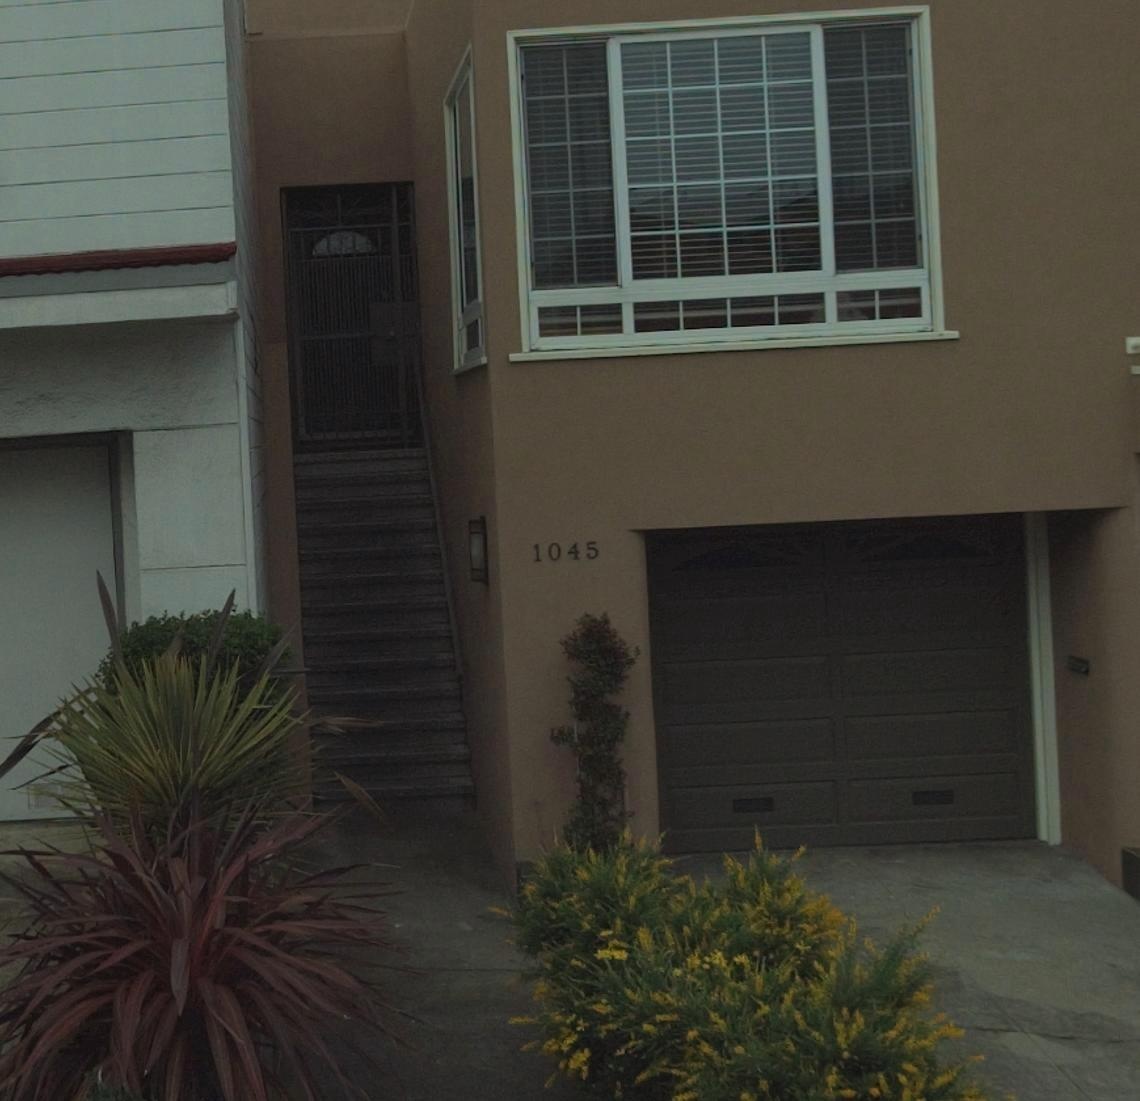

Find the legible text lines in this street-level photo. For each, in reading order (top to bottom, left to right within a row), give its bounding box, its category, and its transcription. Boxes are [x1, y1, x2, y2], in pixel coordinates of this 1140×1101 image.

[532, 540, 601, 563] StreetNumber: 1045